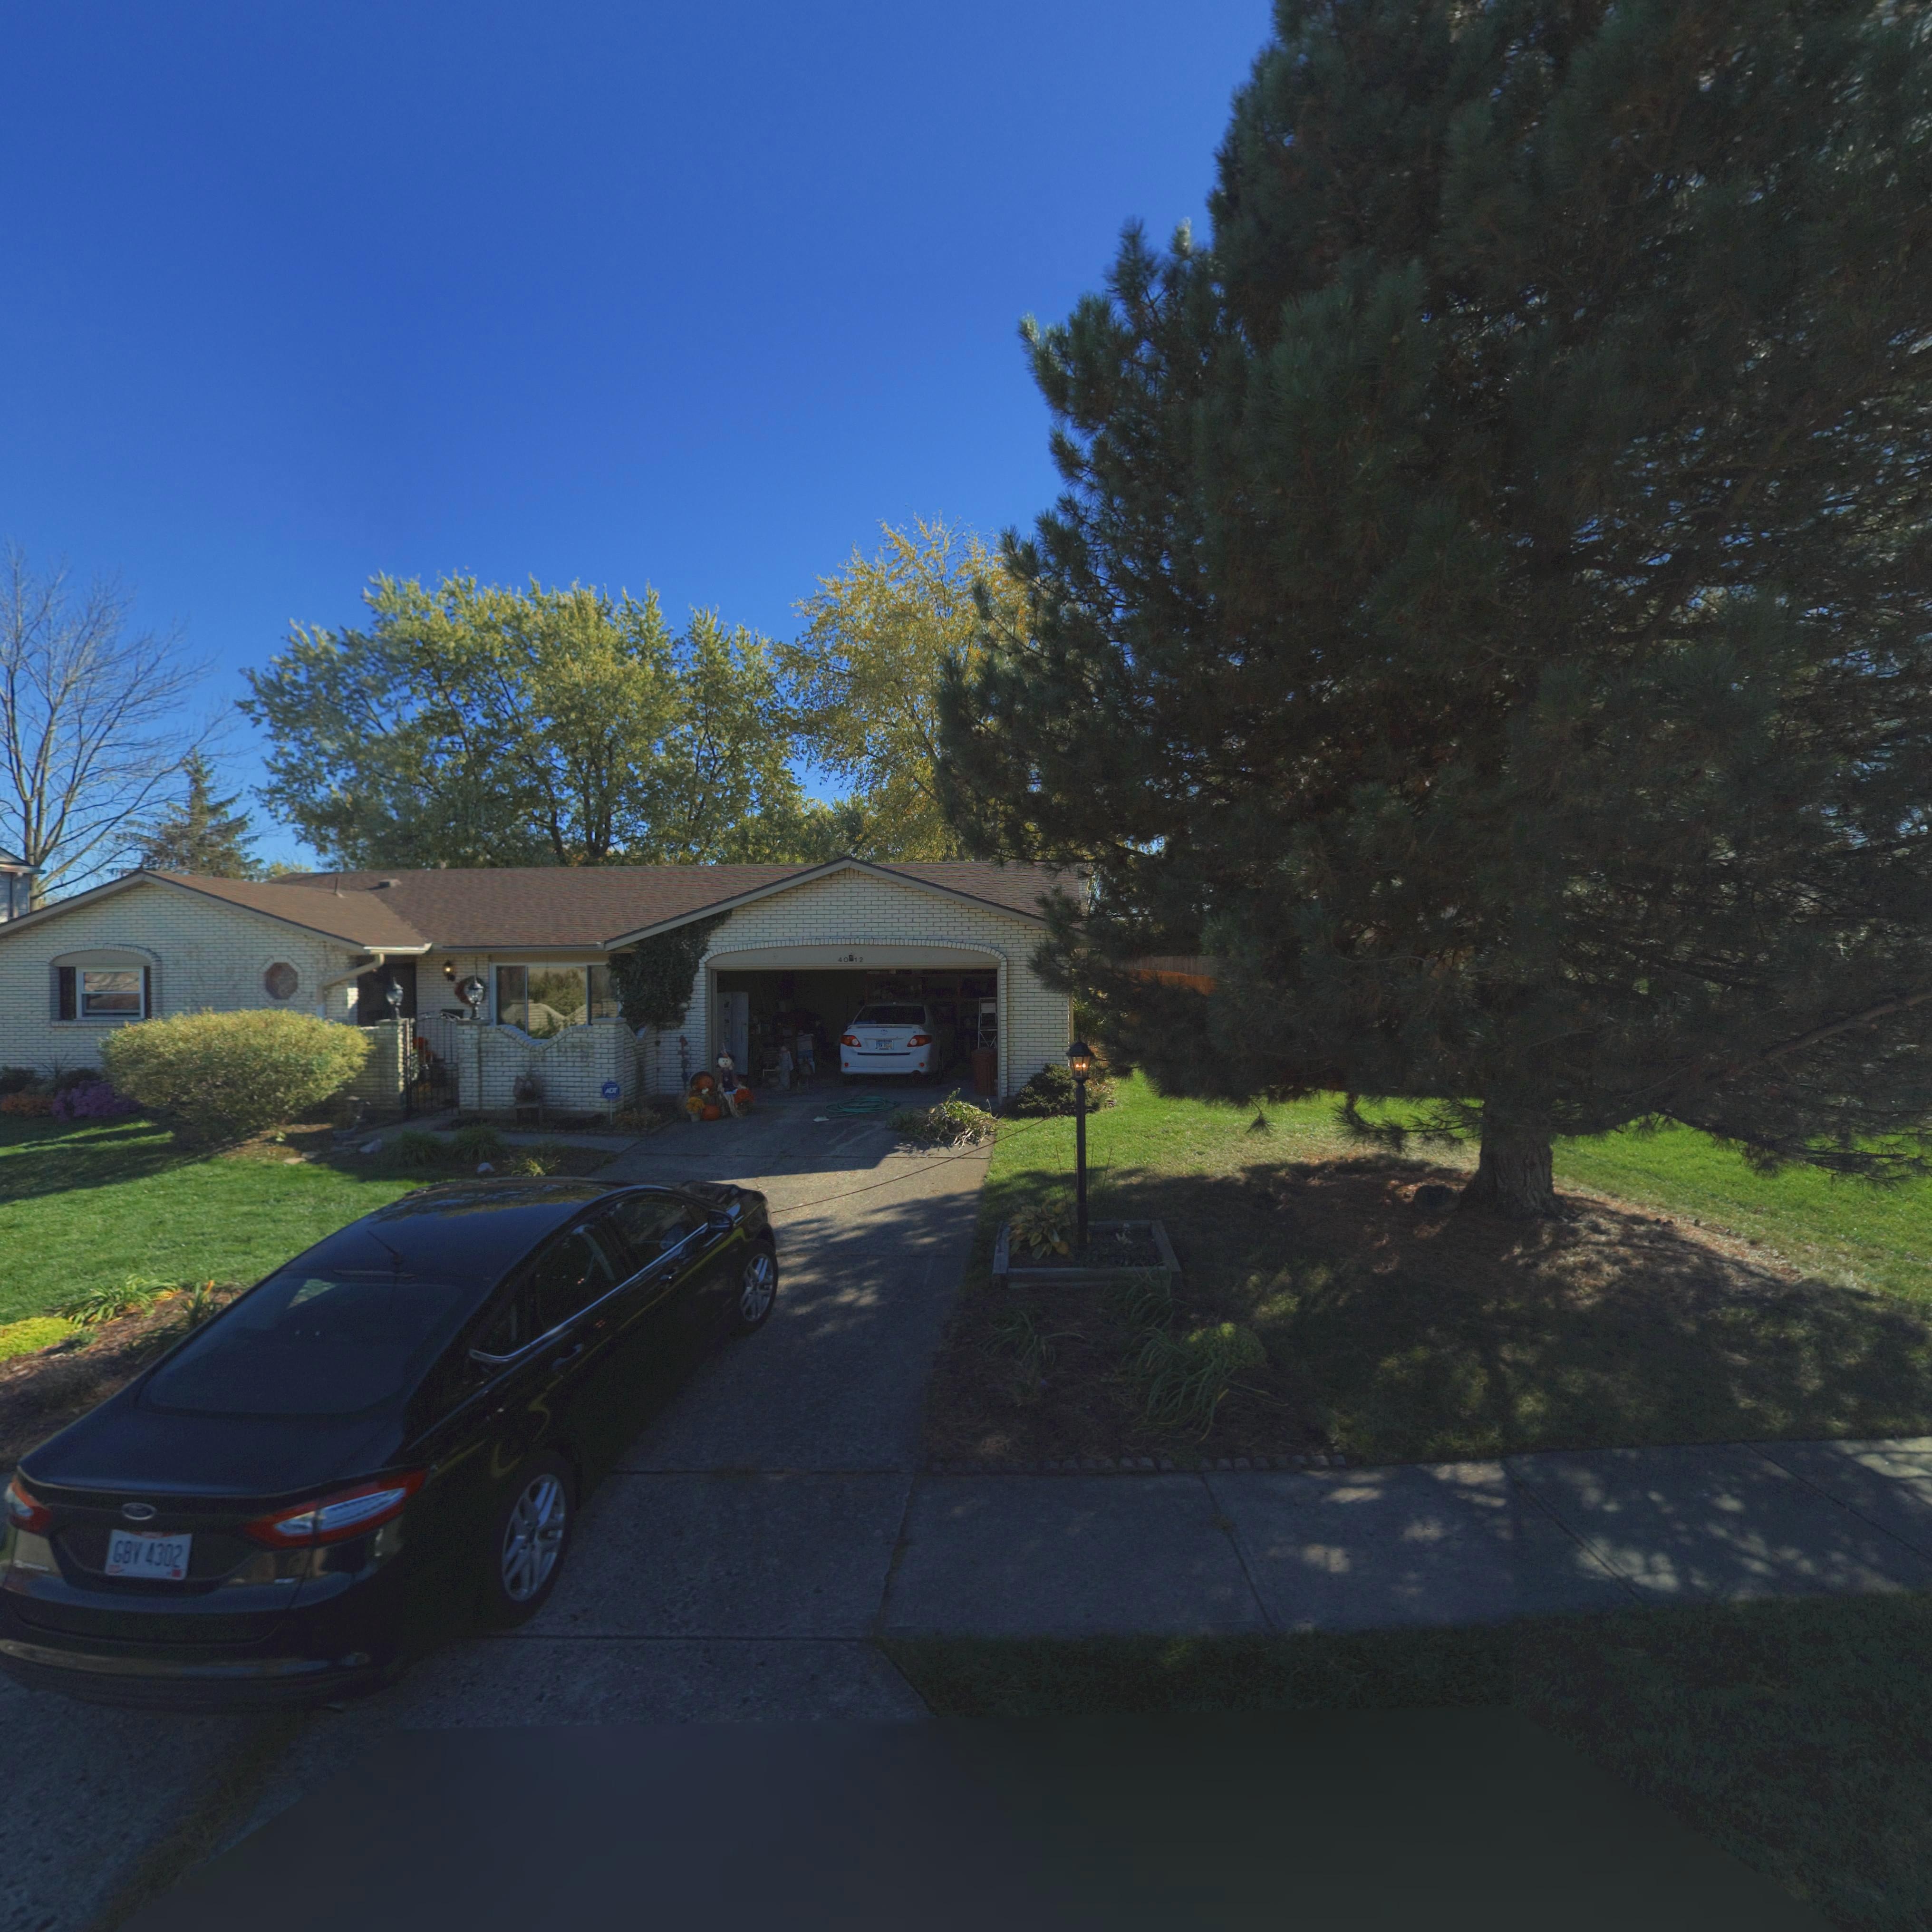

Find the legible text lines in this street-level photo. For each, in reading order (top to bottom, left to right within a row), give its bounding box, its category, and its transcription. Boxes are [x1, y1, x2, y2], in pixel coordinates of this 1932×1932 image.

[838, 956, 863, 963] StreetNumber: 40*12